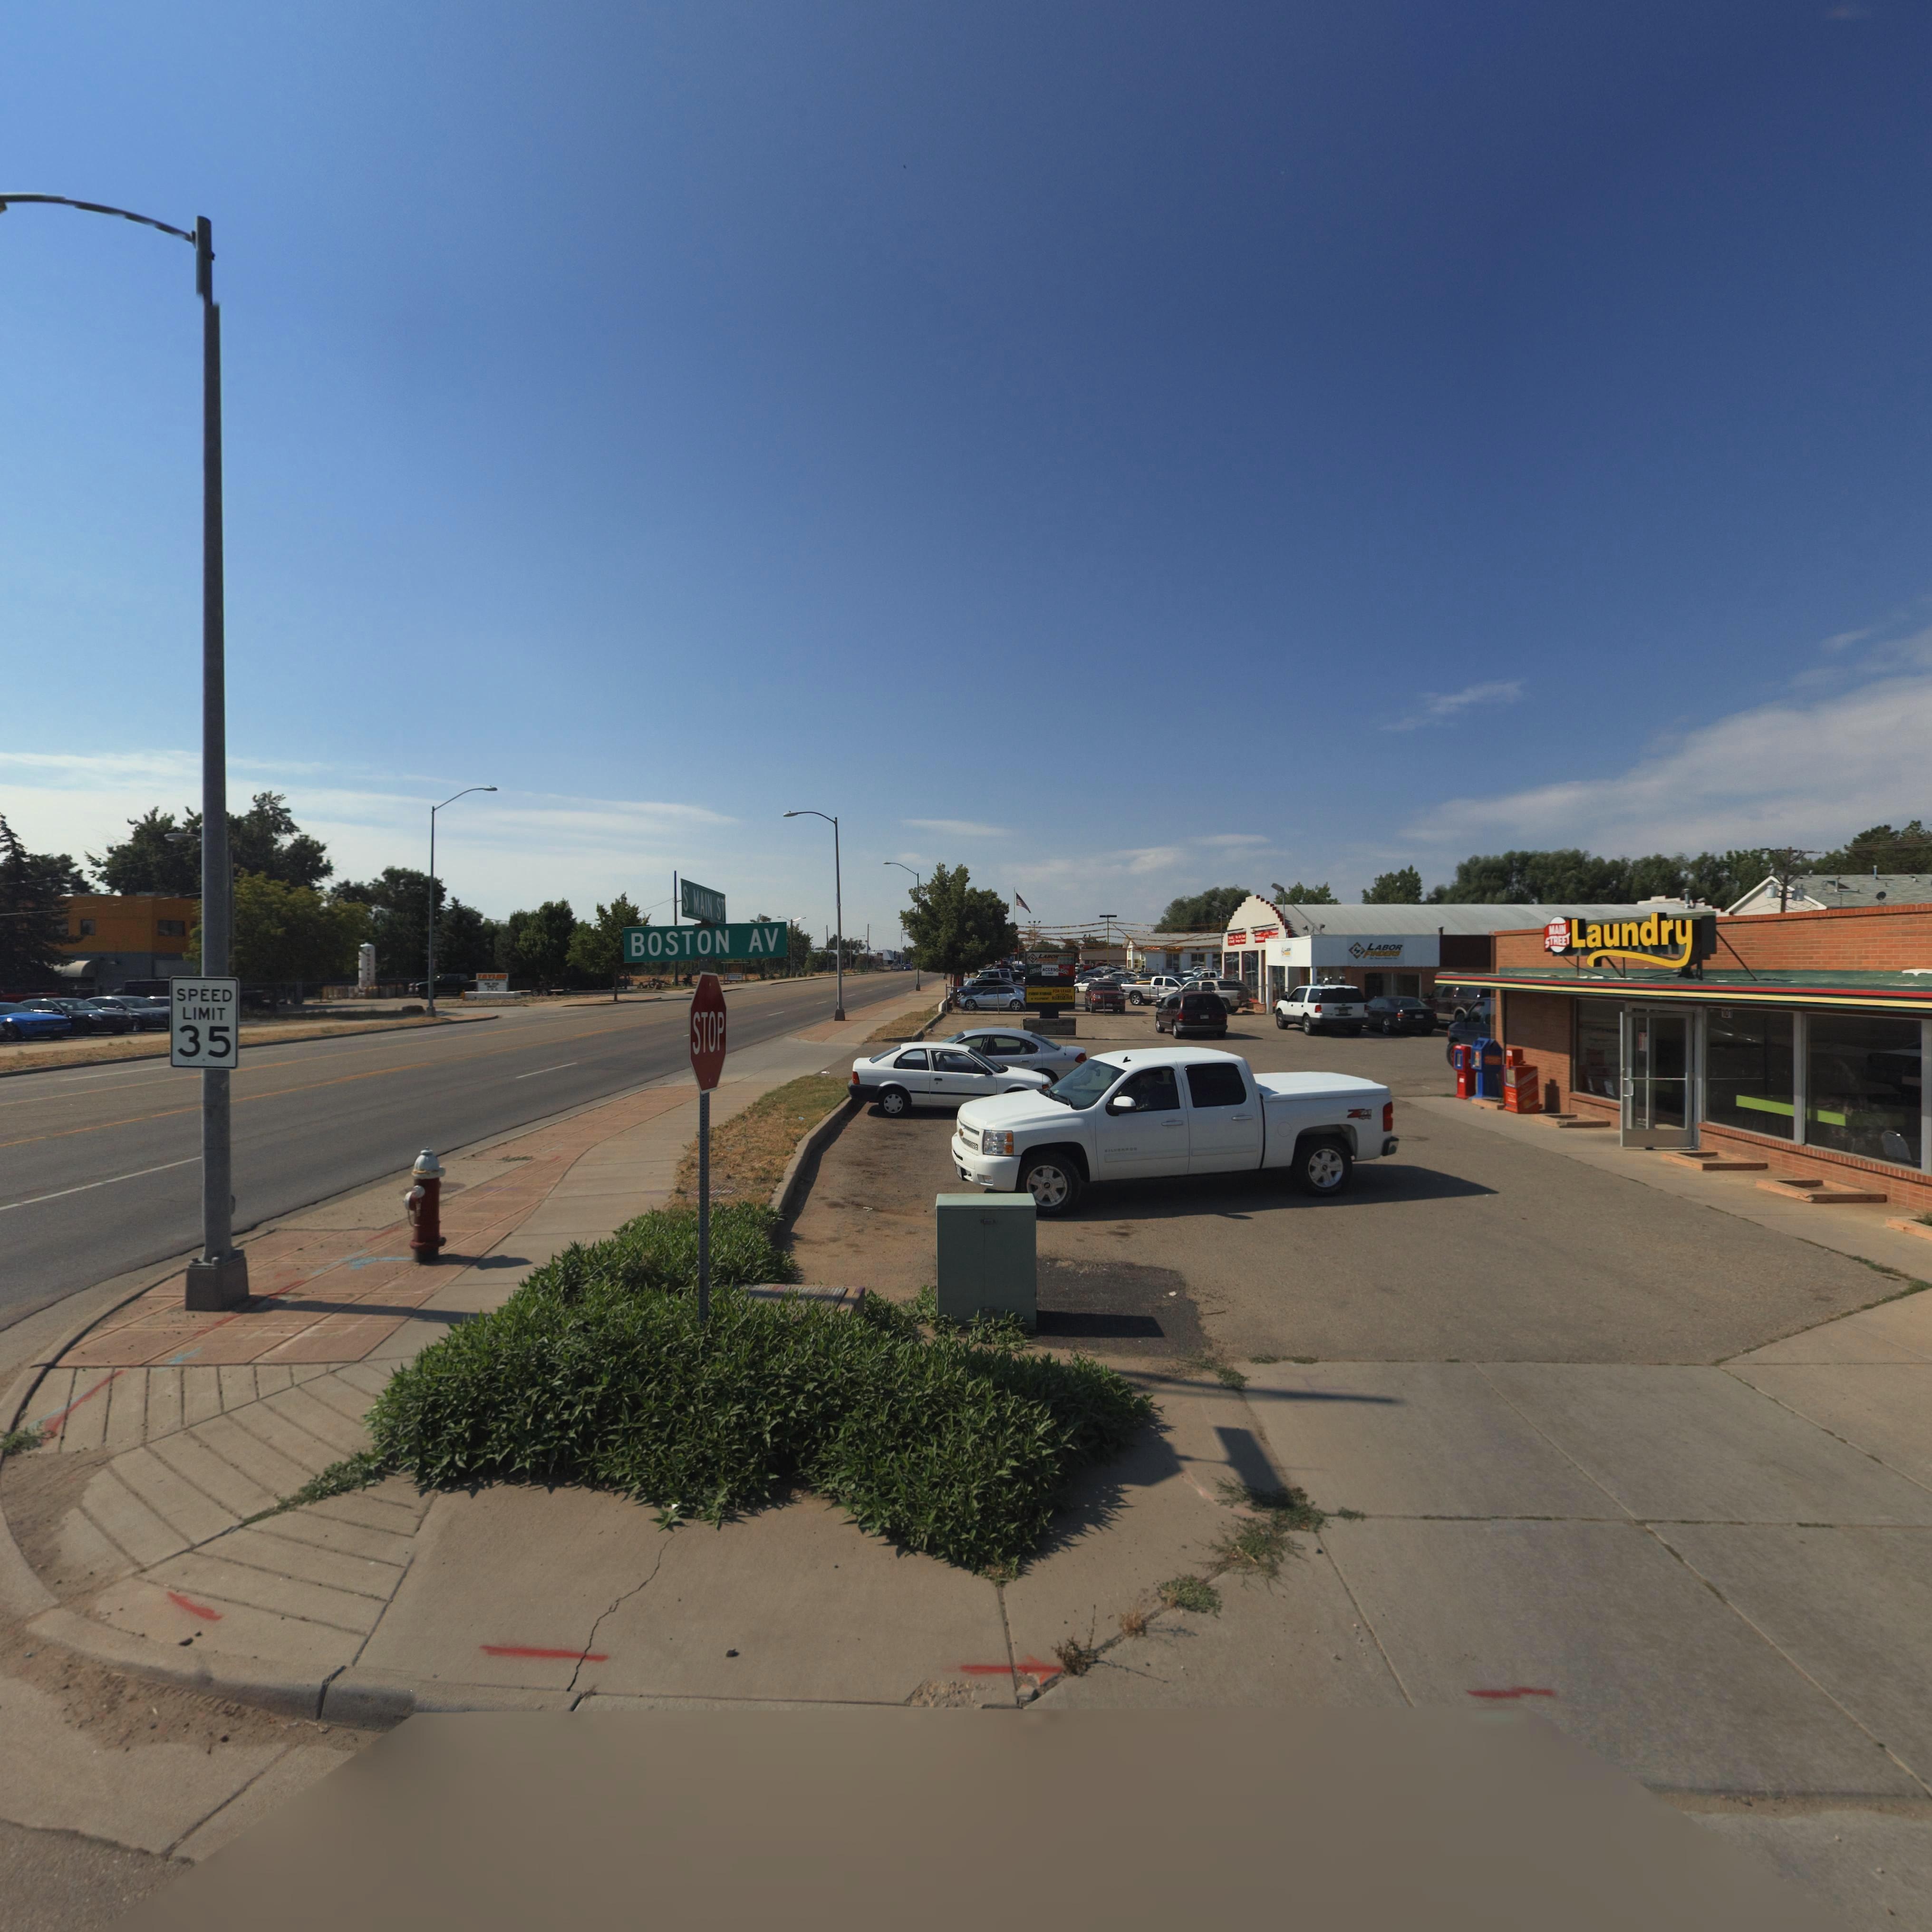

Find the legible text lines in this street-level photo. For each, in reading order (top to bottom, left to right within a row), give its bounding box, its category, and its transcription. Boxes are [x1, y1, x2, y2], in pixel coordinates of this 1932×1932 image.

[682, 884, 725, 922] StreetName: S MAIN ST
[1549, 924, 1566, 935] BusinessName: MAIN
[630, 927, 780, 957] StreetName: BOSTON AV
[1545, 932, 1571, 948] BusinessName: STREET
[1571, 911, 1693, 968] BusinessName: Laundry
[1284, 947, 1287, 952] BusinessName: L
[1366, 943, 1403, 950] BusinessName: LABOR
[1036, 957, 1057, 962] BusinessName: F*****
[1038, 953, 1059, 958] BusinessName: LABOR
[1362, 950, 1401, 958] BusinessName: FIN**S
[477, 974, 507, 979] BusinessName: TAYLOR